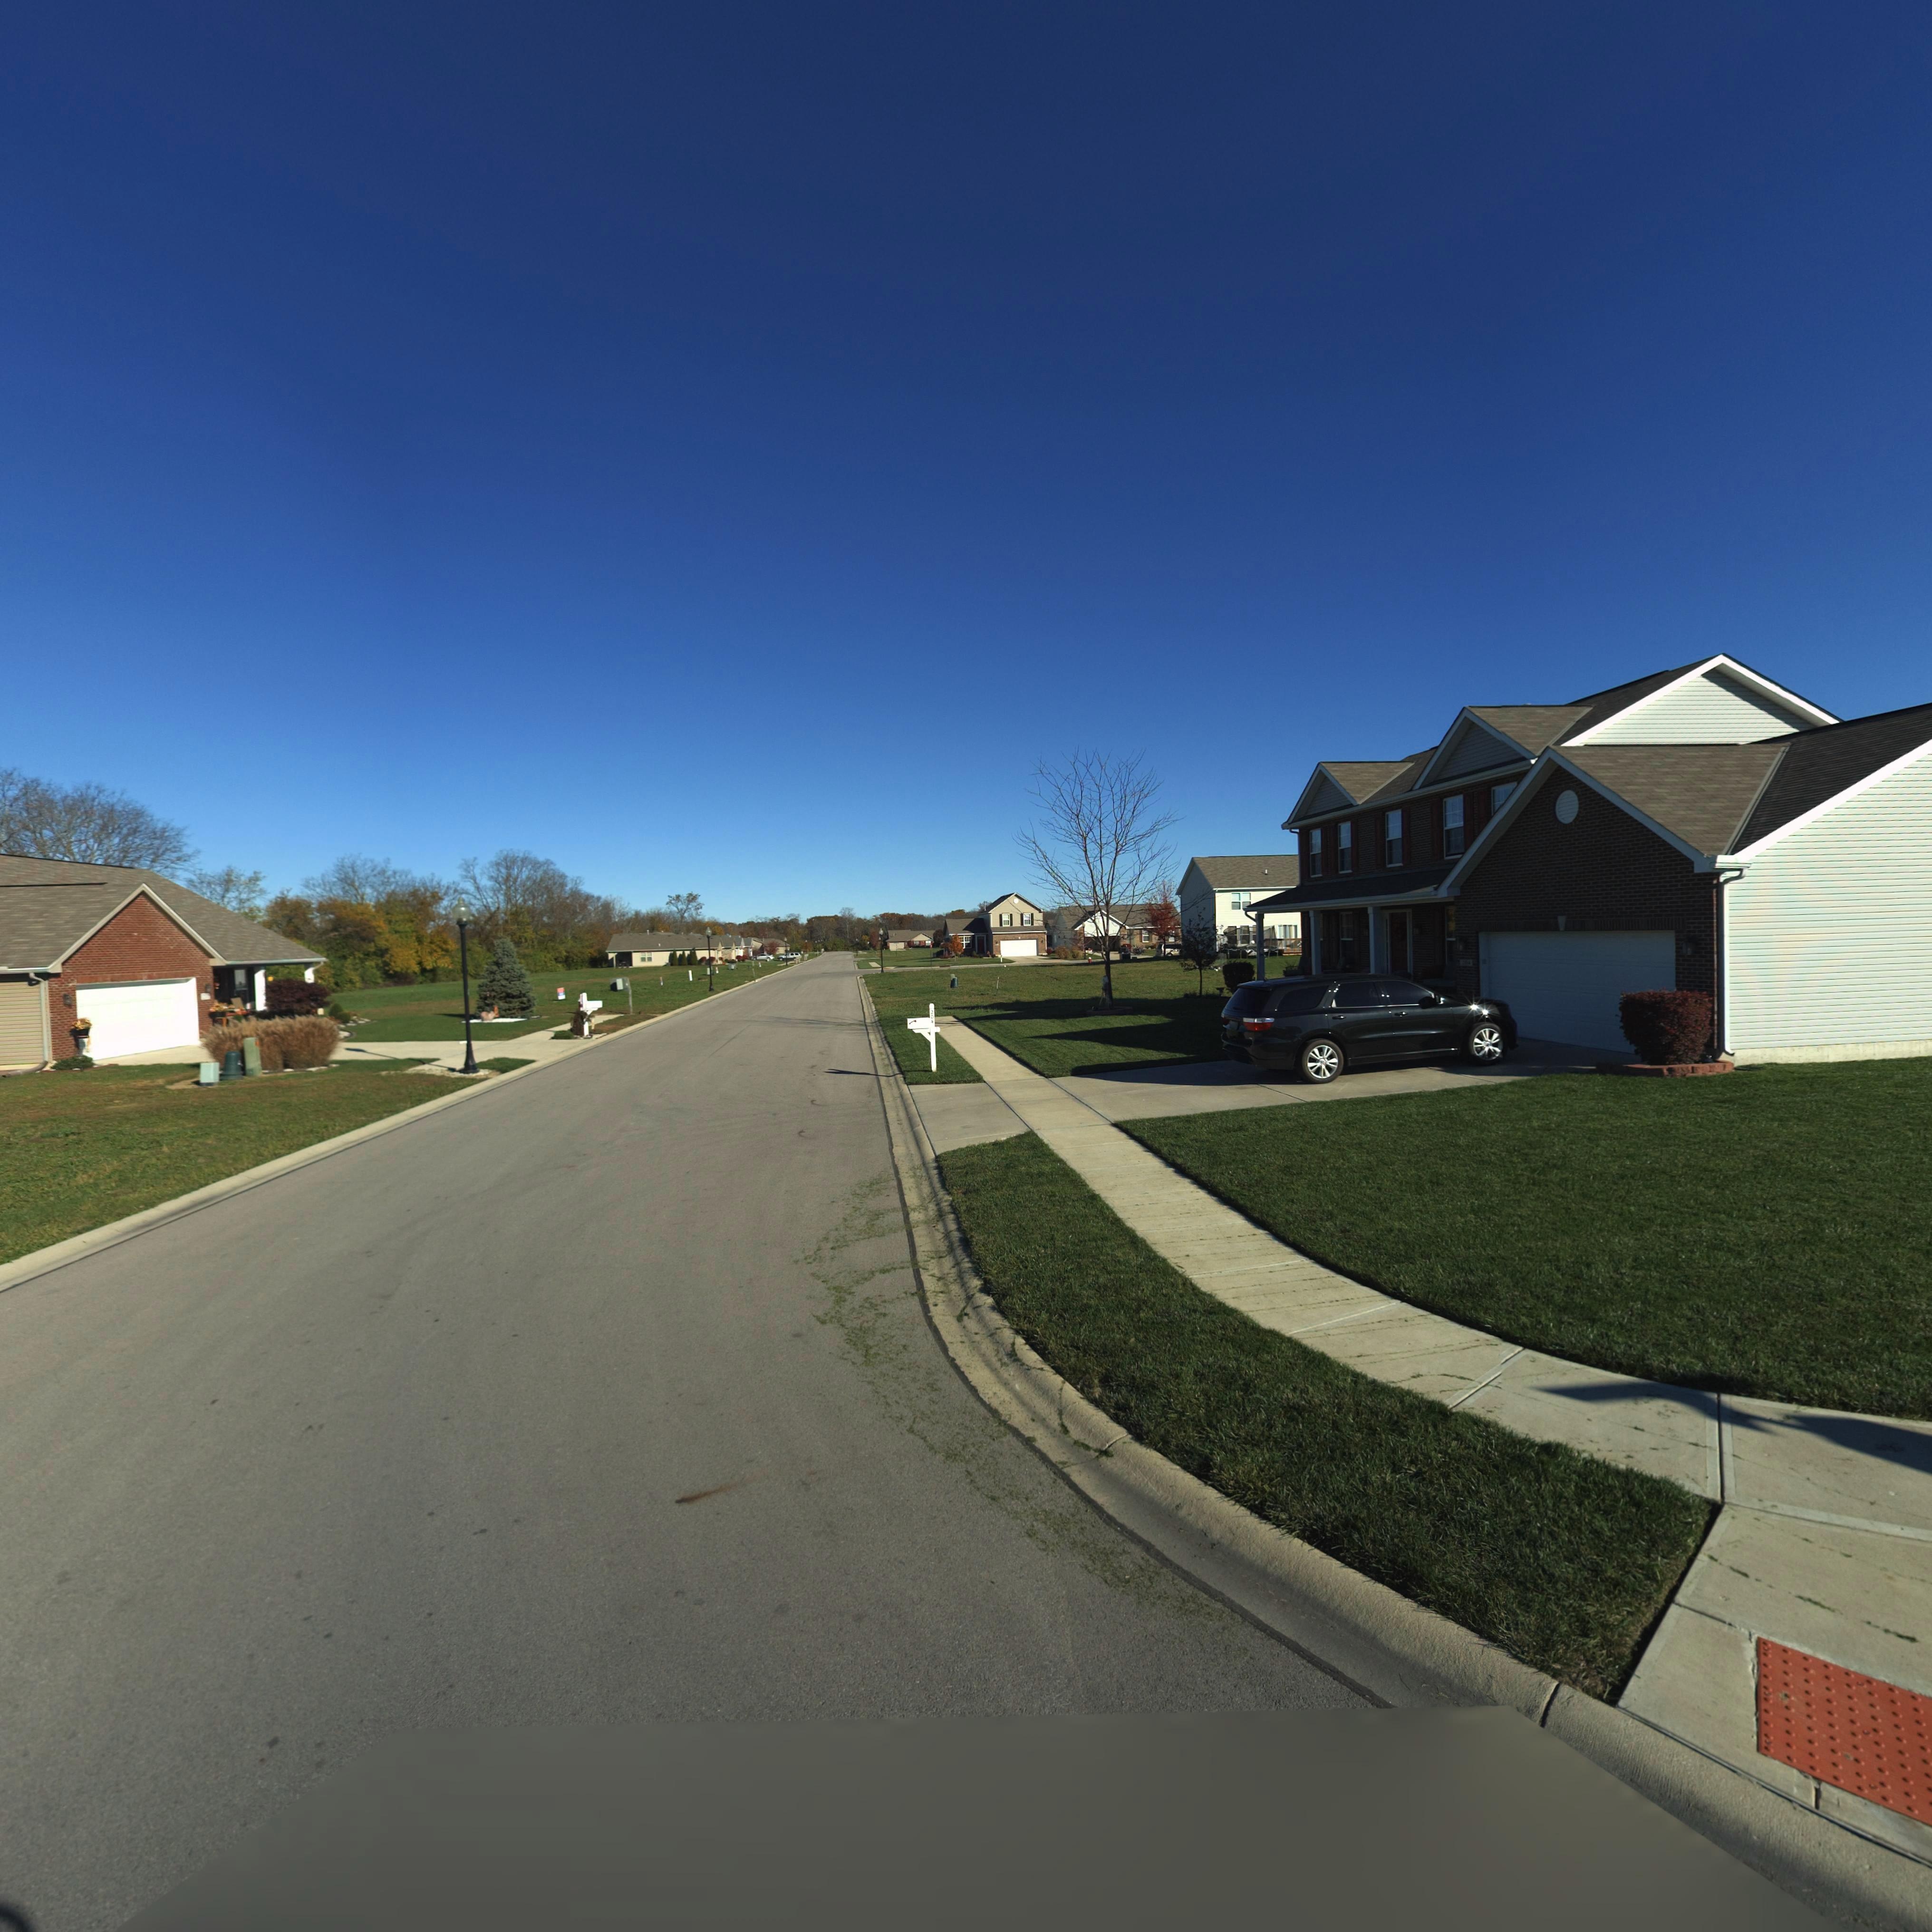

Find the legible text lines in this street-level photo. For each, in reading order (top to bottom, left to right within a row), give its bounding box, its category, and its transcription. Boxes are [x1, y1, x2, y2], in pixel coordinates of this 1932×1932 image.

[930, 1010, 934, 1024] StreetNumber: 204